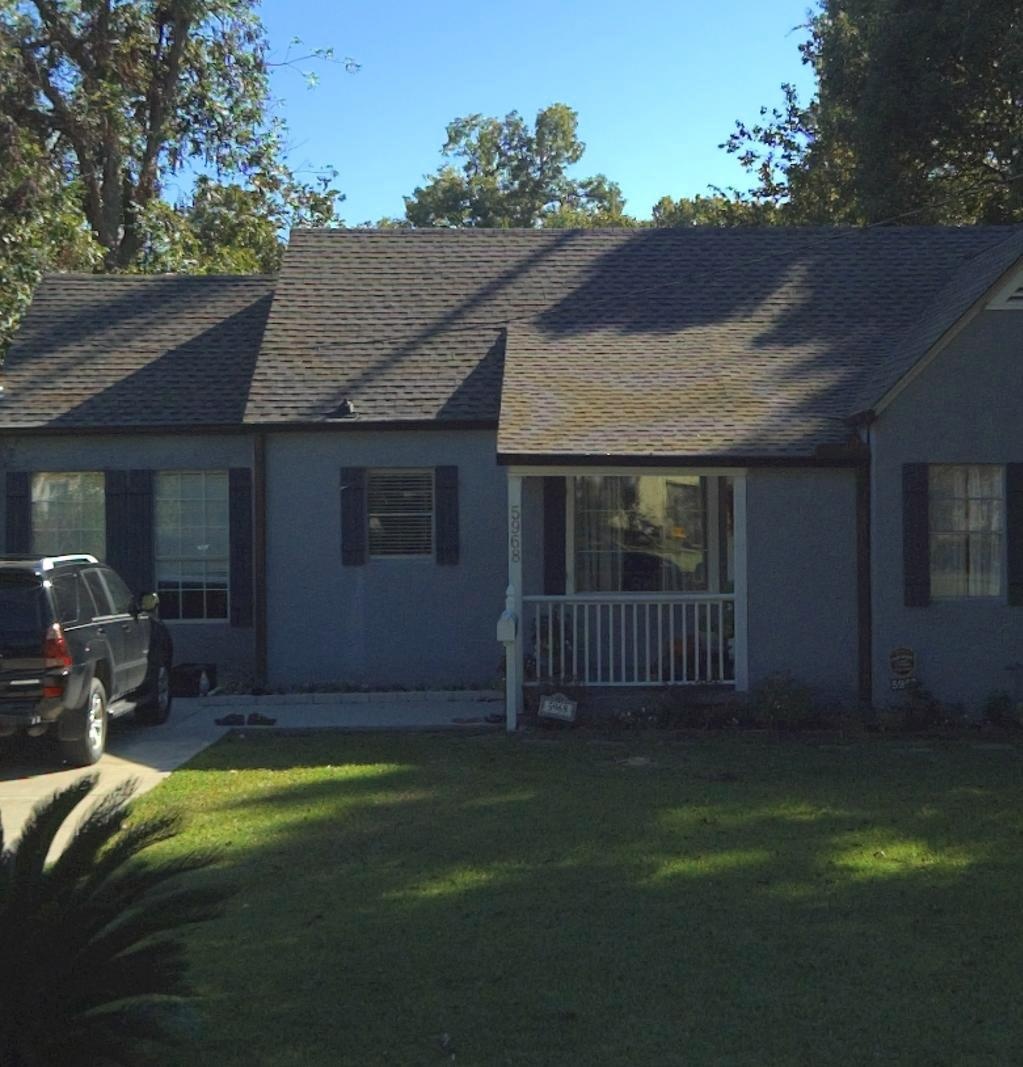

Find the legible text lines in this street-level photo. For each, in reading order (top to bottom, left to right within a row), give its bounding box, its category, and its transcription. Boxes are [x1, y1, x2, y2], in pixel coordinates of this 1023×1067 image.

[509, 504, 521, 565] StreetNumber: 5968
[891, 678, 906, 690] StreetNumber: 59
[546, 700, 570, 715] StreetNumber: 5968